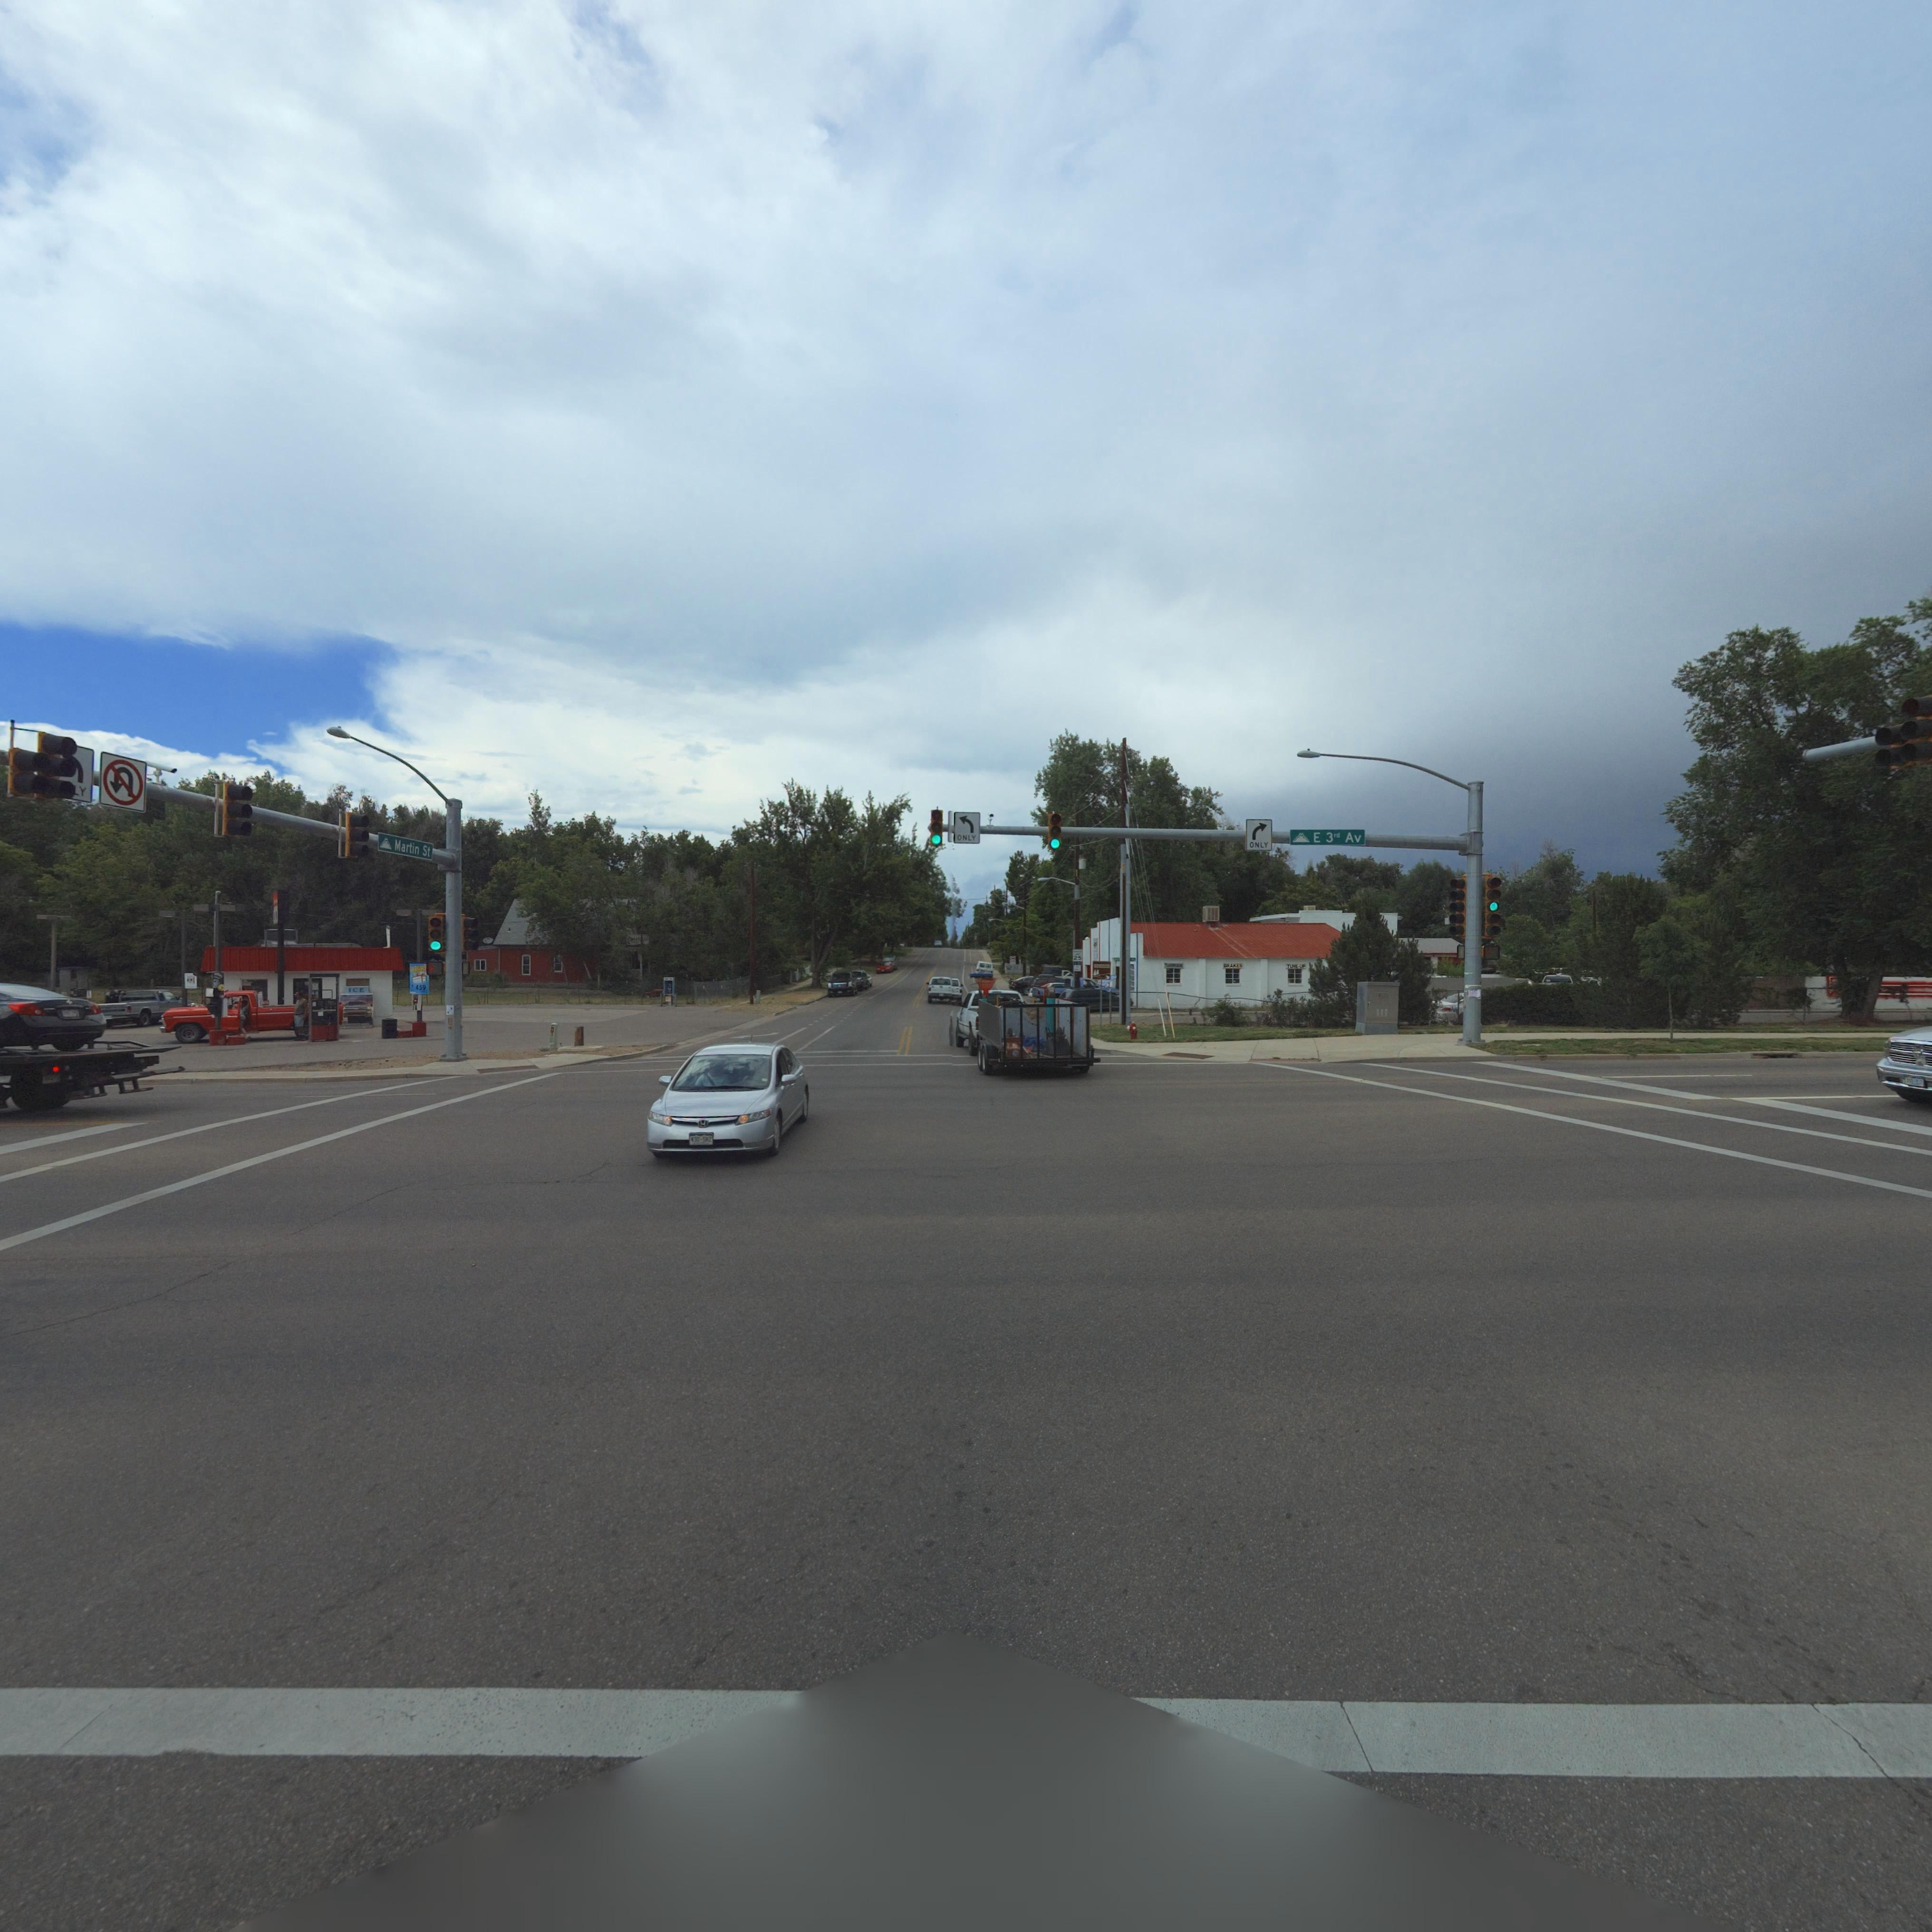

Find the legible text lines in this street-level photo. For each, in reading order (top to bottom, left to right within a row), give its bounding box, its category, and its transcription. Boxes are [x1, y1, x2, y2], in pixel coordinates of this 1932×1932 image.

[1313, 831, 1362, 843] StreetName: E 3rd Av
[395, 838, 430, 857] StreetName: Martin St